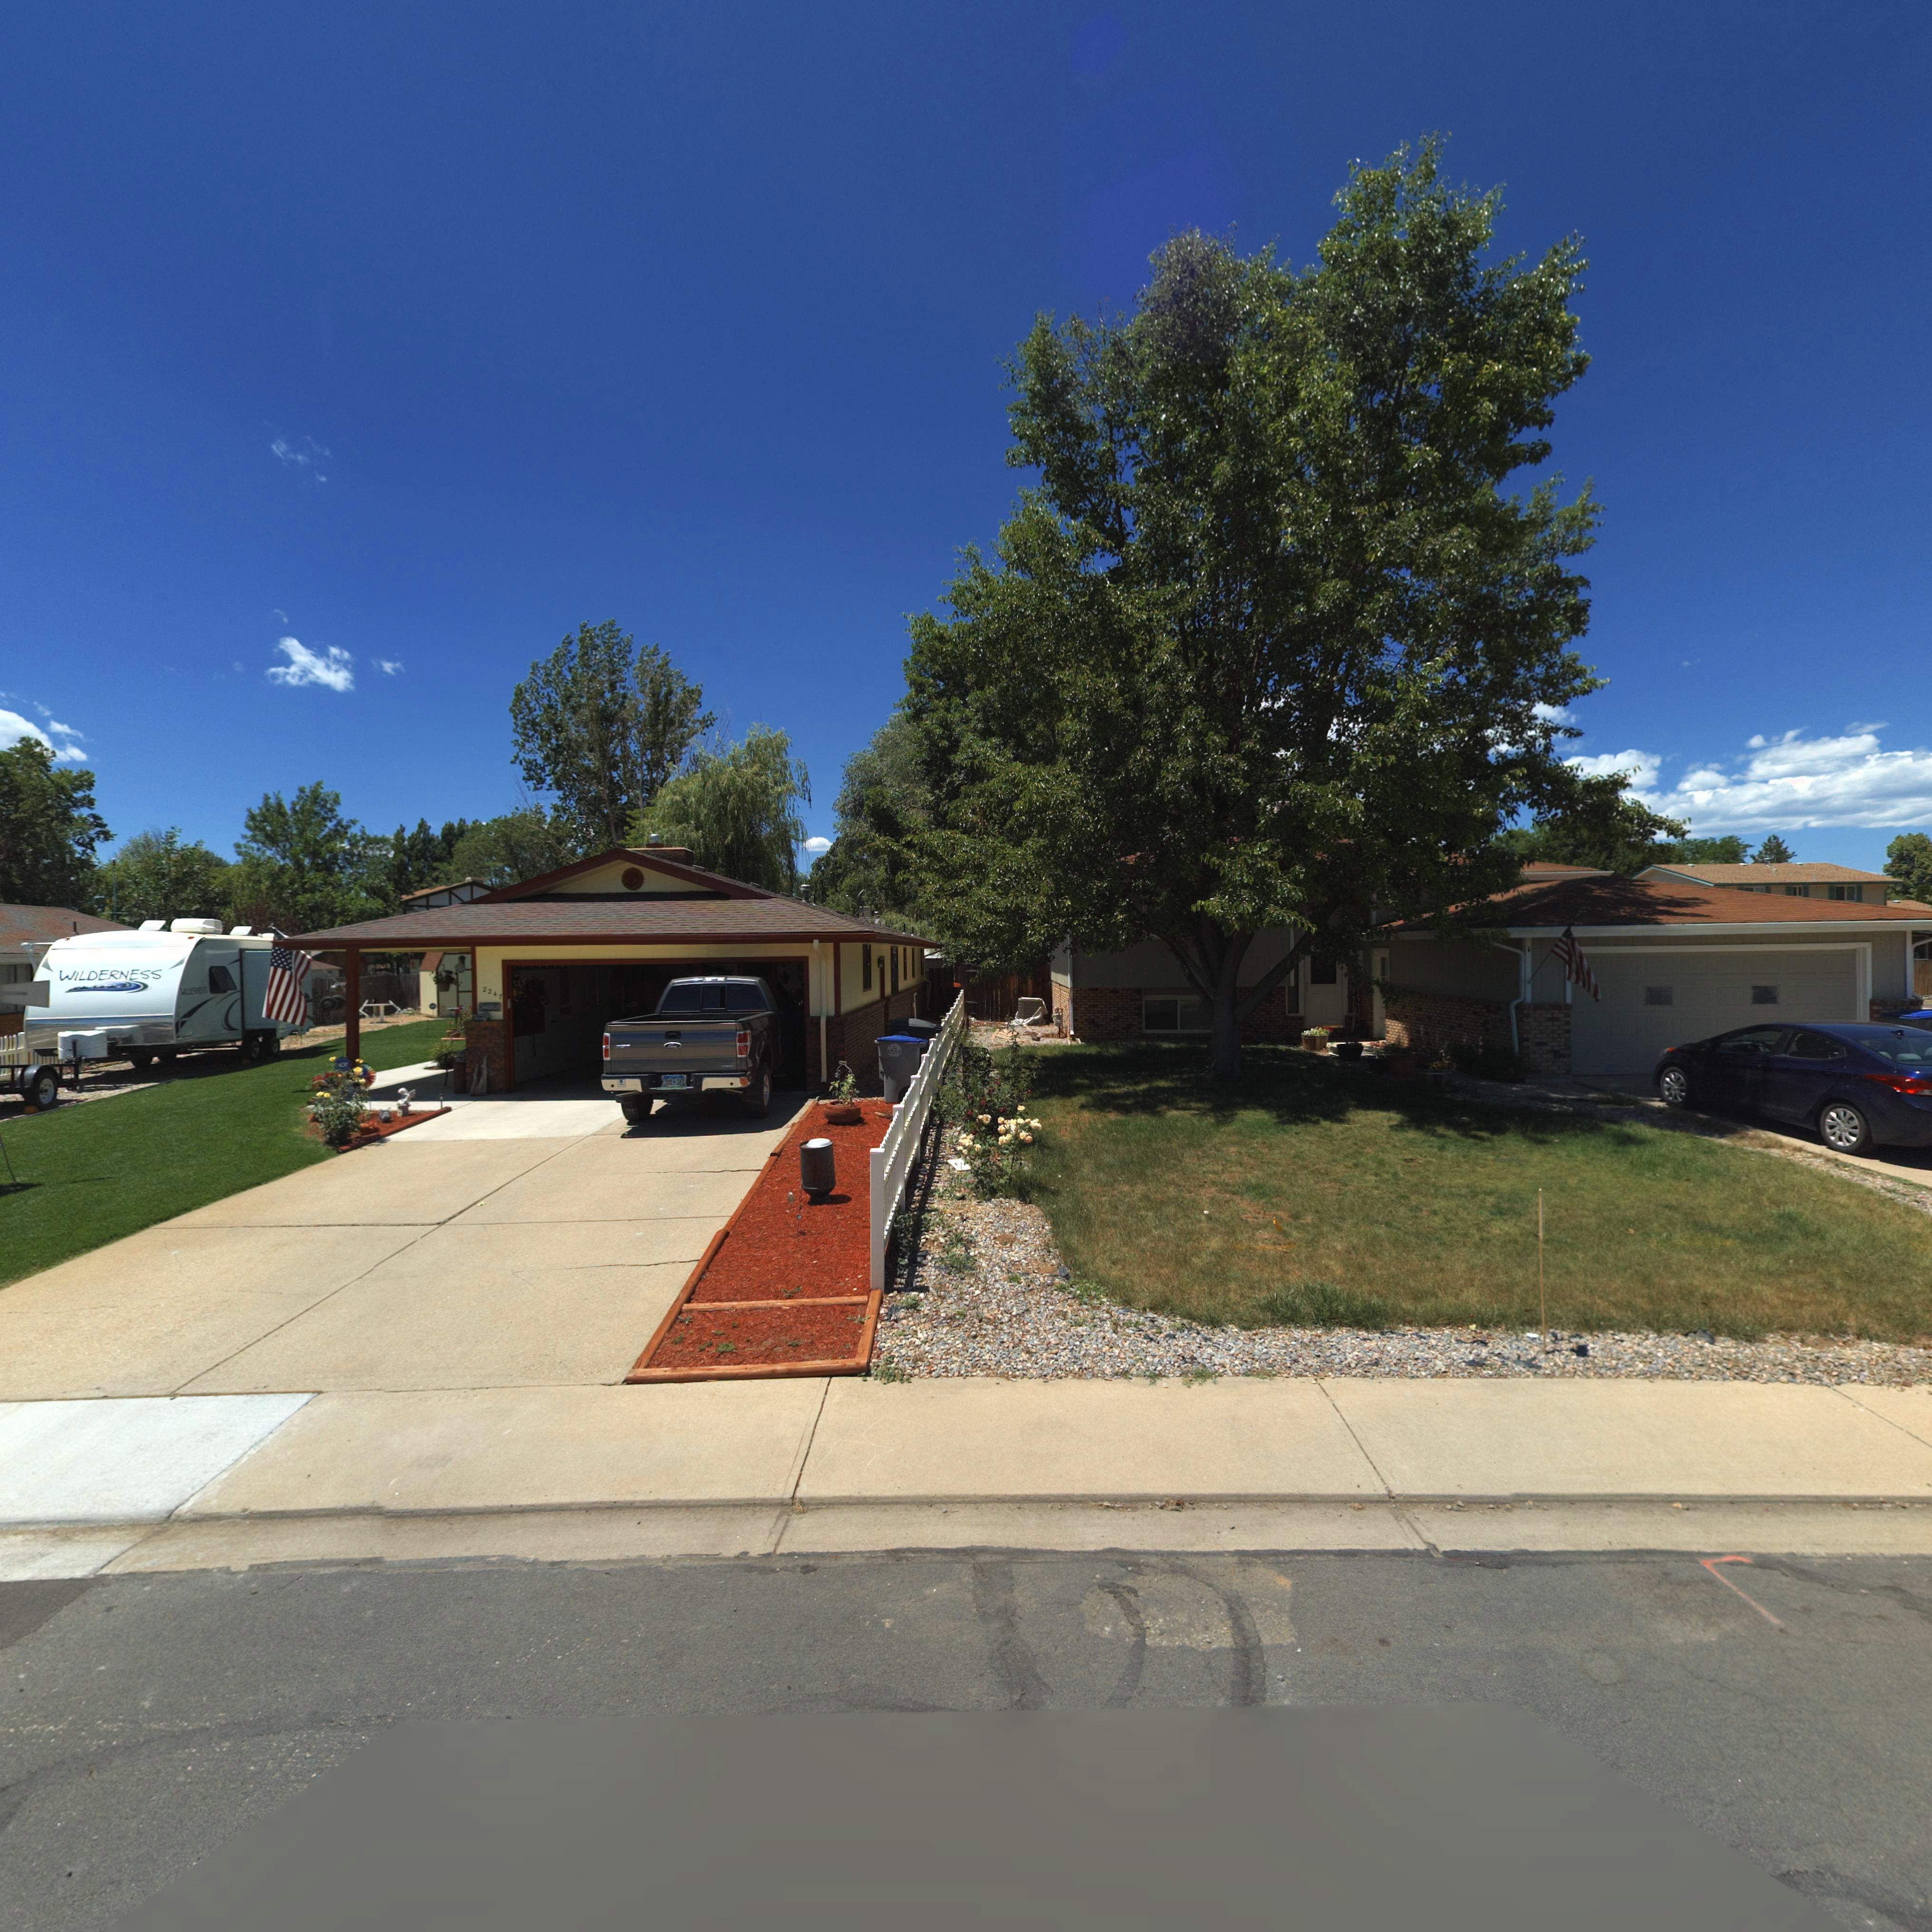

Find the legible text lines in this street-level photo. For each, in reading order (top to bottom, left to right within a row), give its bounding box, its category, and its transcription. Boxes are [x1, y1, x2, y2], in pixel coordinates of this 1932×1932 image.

[482, 985, 503, 1000] StreetNumber: 2247